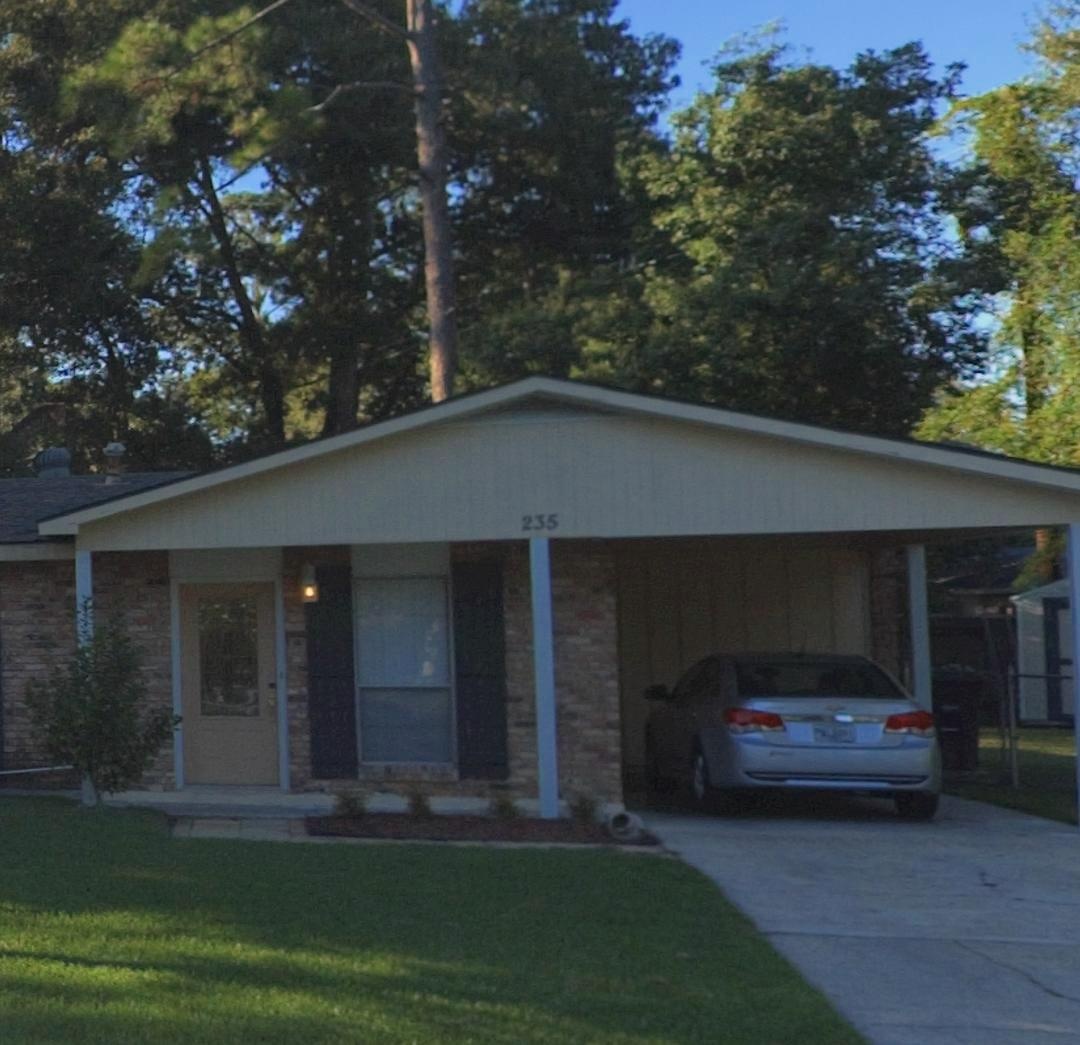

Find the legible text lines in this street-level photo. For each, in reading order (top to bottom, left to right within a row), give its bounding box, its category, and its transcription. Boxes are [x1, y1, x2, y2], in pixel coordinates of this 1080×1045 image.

[520, 513, 559, 532] StreetNumber: 235